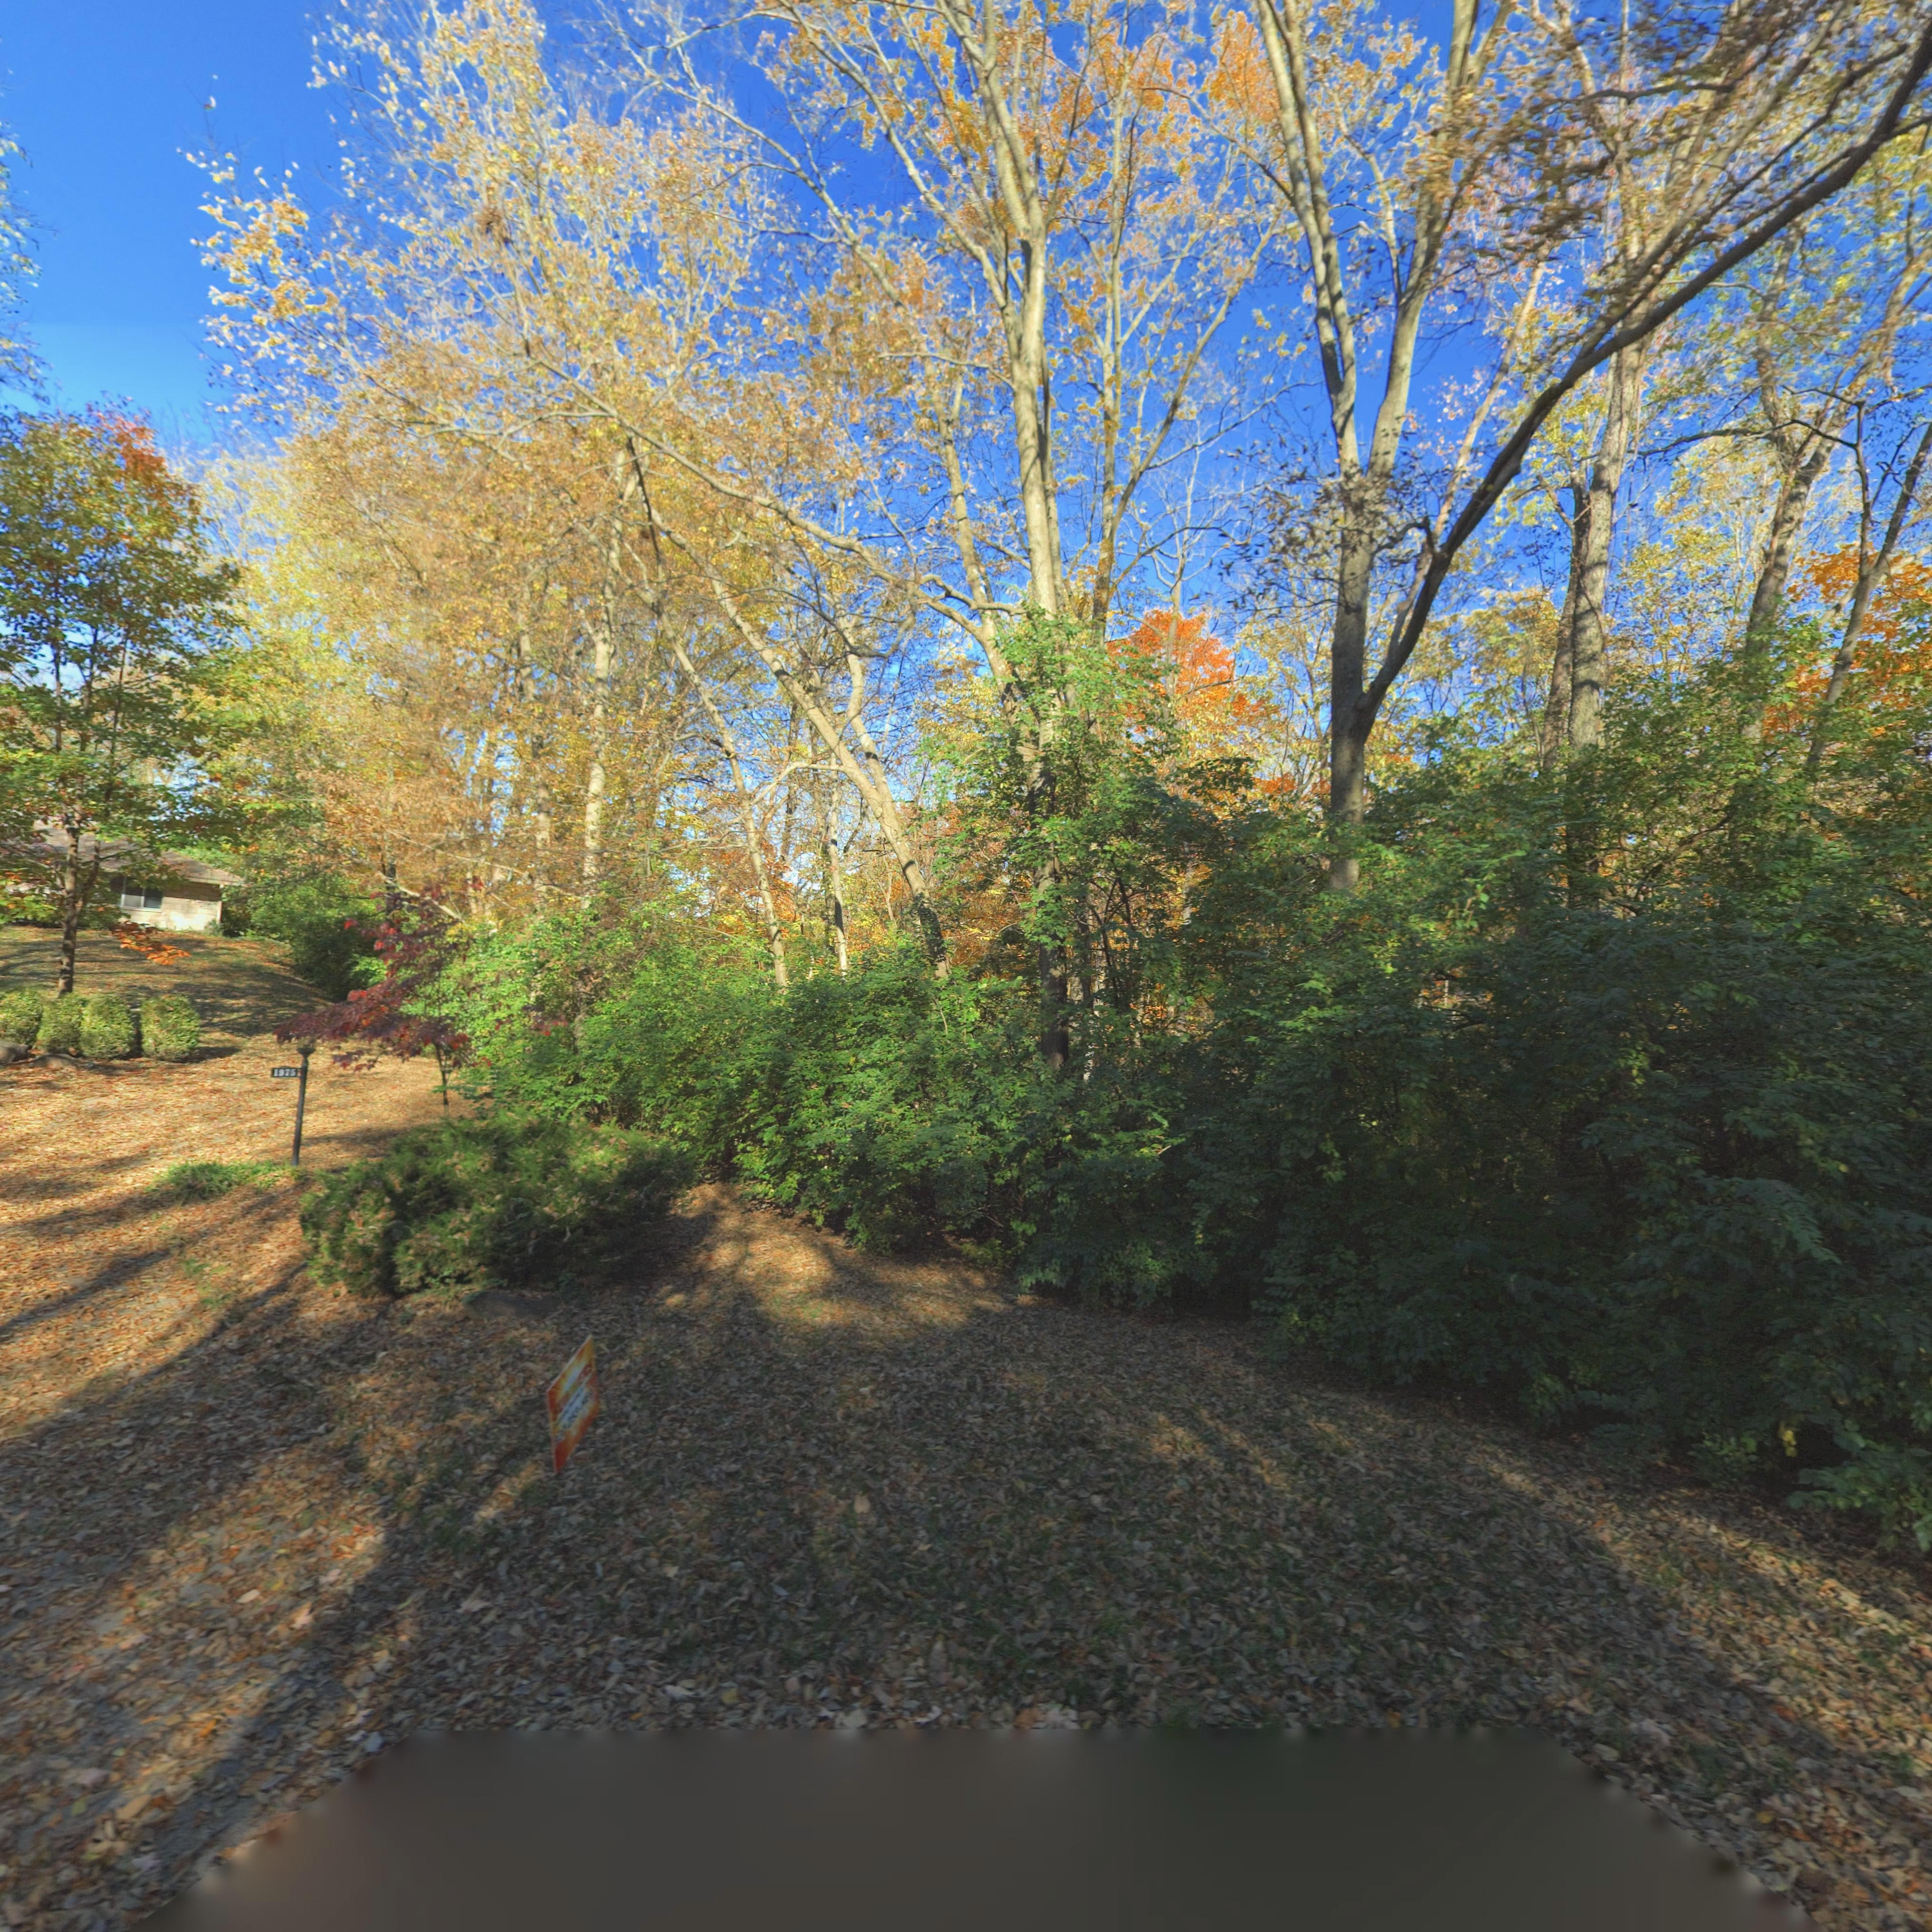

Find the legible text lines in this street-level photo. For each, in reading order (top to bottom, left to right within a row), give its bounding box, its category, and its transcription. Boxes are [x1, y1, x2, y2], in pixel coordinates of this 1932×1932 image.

[272, 1068, 297, 1077] StreetNumber: 1975